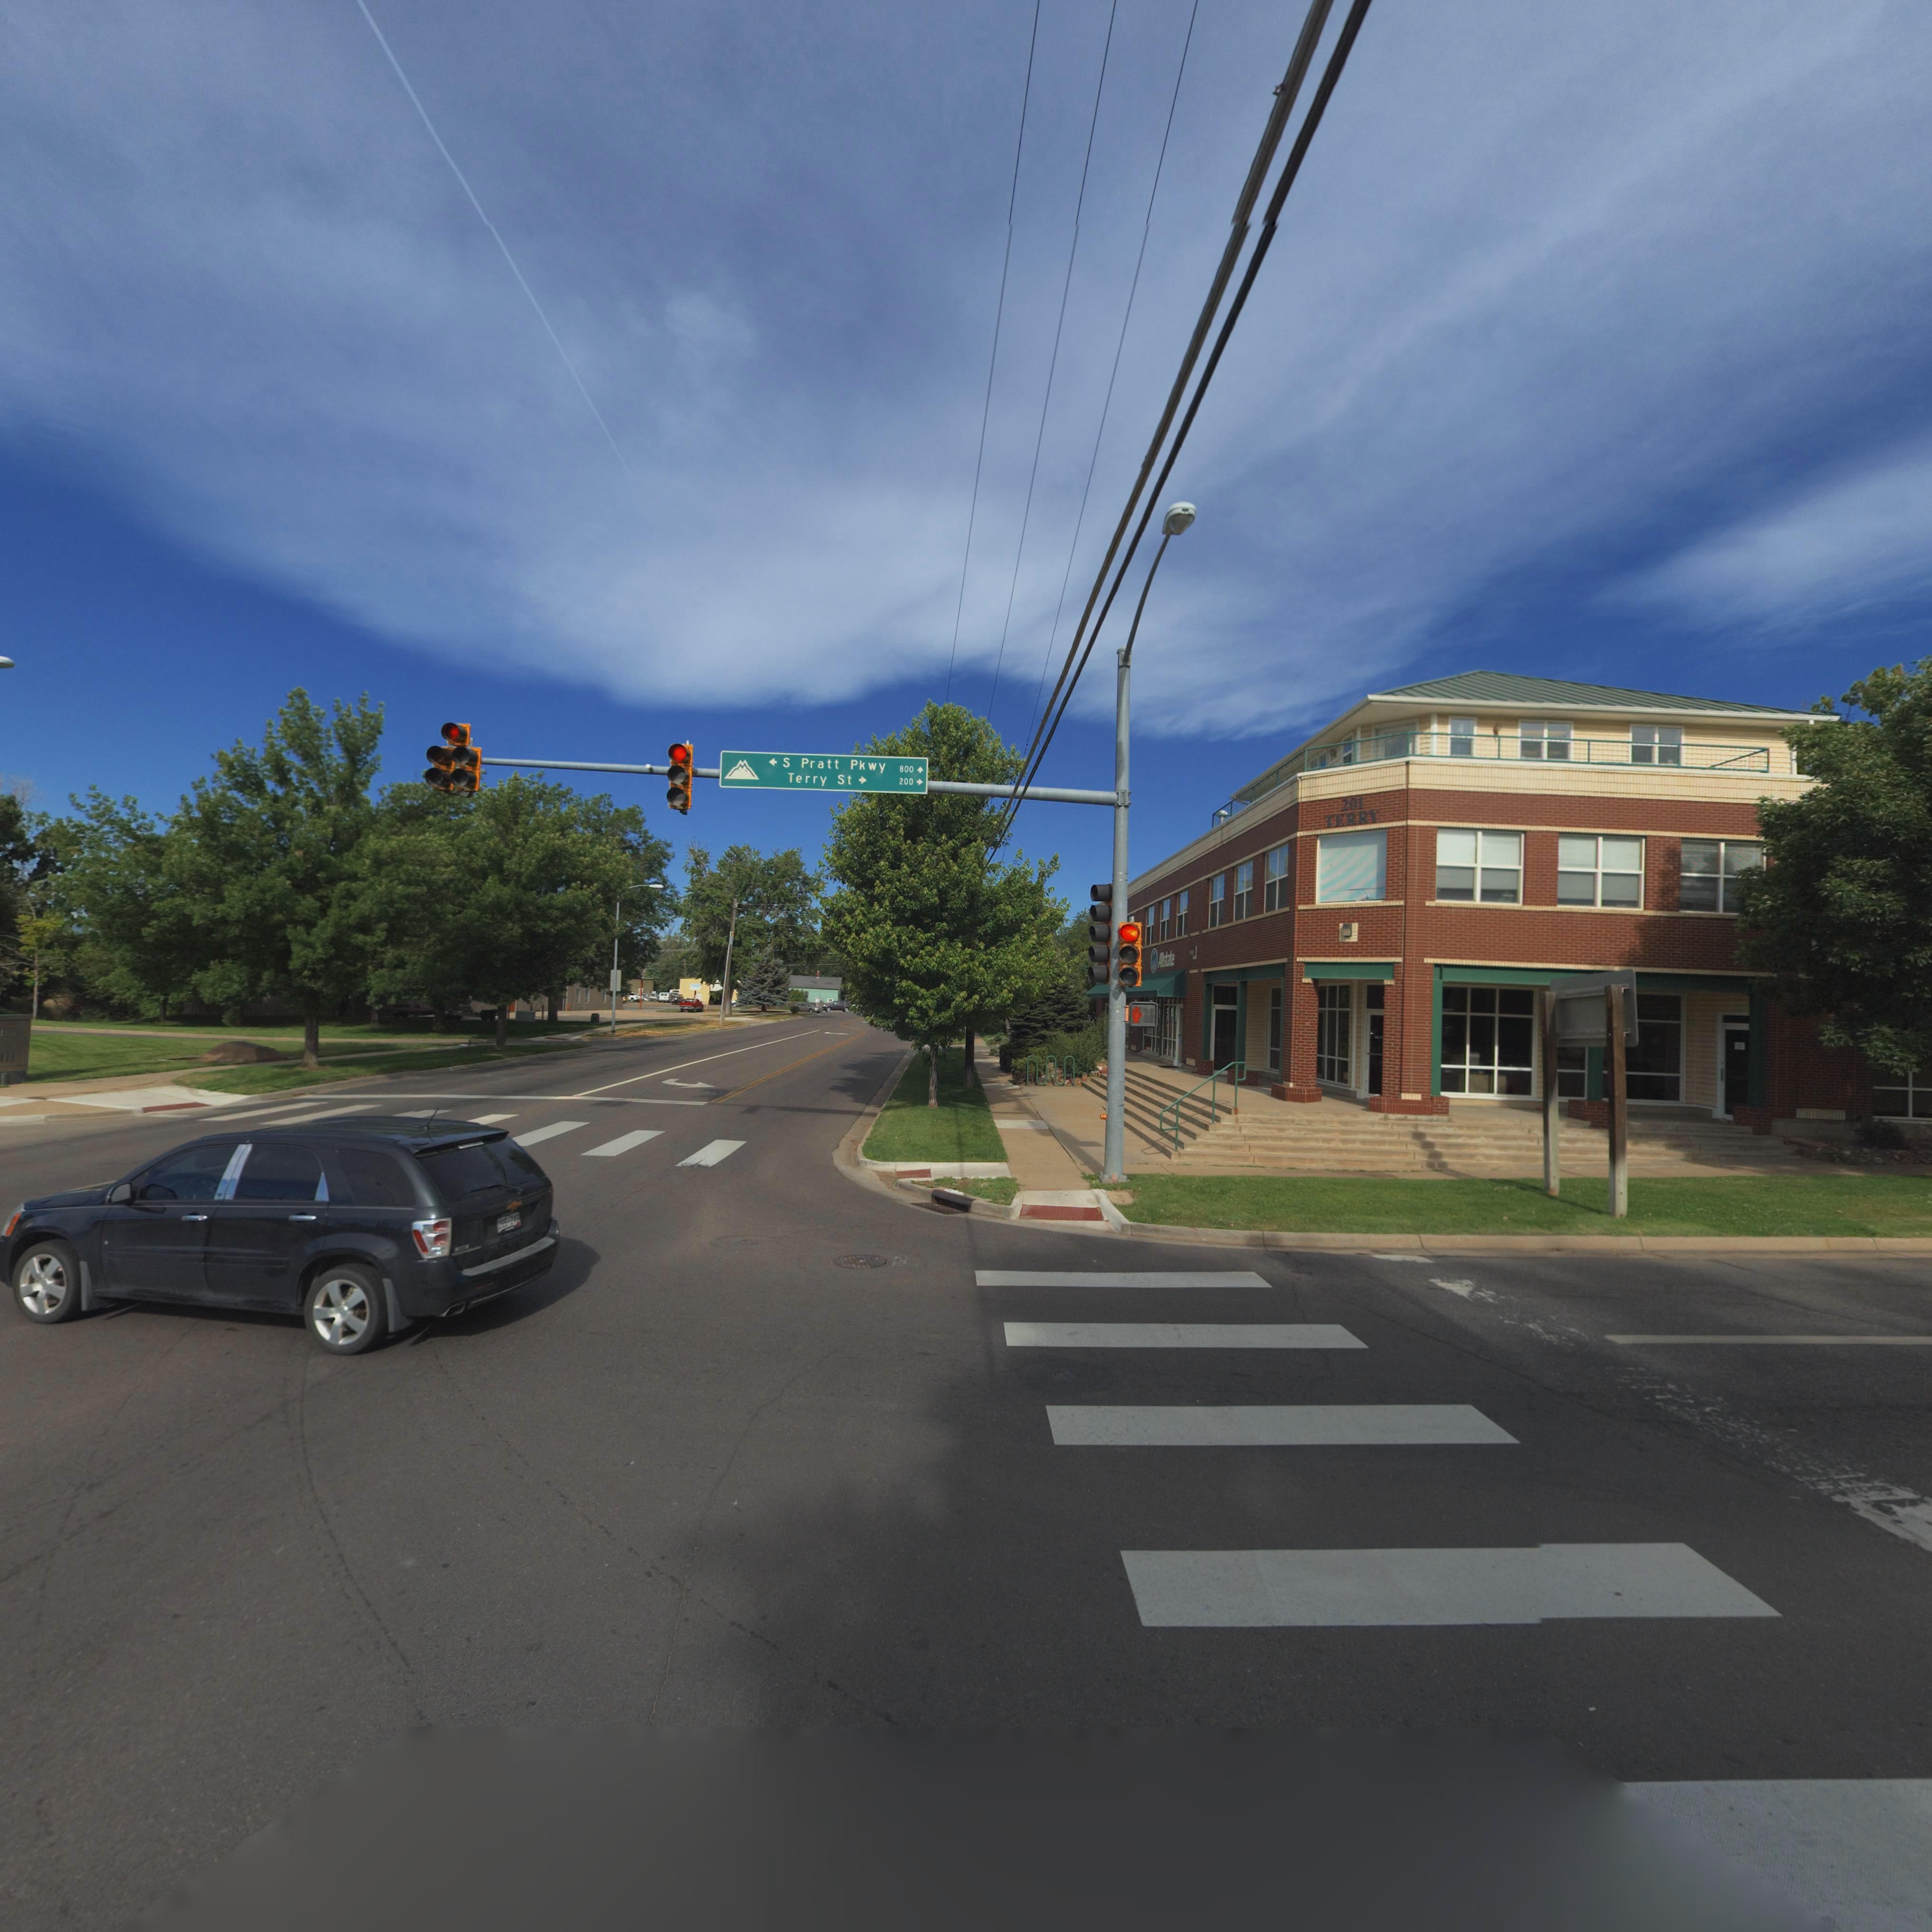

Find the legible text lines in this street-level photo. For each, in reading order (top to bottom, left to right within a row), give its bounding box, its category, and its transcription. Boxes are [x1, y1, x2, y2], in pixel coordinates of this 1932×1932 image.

[782, 756, 887, 774] StreetName: S Pratt Pkwy
[899, 765, 914, 773] StreetNumberRange: 800
[787, 772, 853, 787] StreetName: Terry St
[898, 777, 923, 786] StreetNumberRange: 200->
[1340, 796, 1364, 812] StreetNumber: 201
[1325, 809, 1380, 828] StreetName: TERRY
[1157, 949, 1175, 968] BusinessName: Allstate